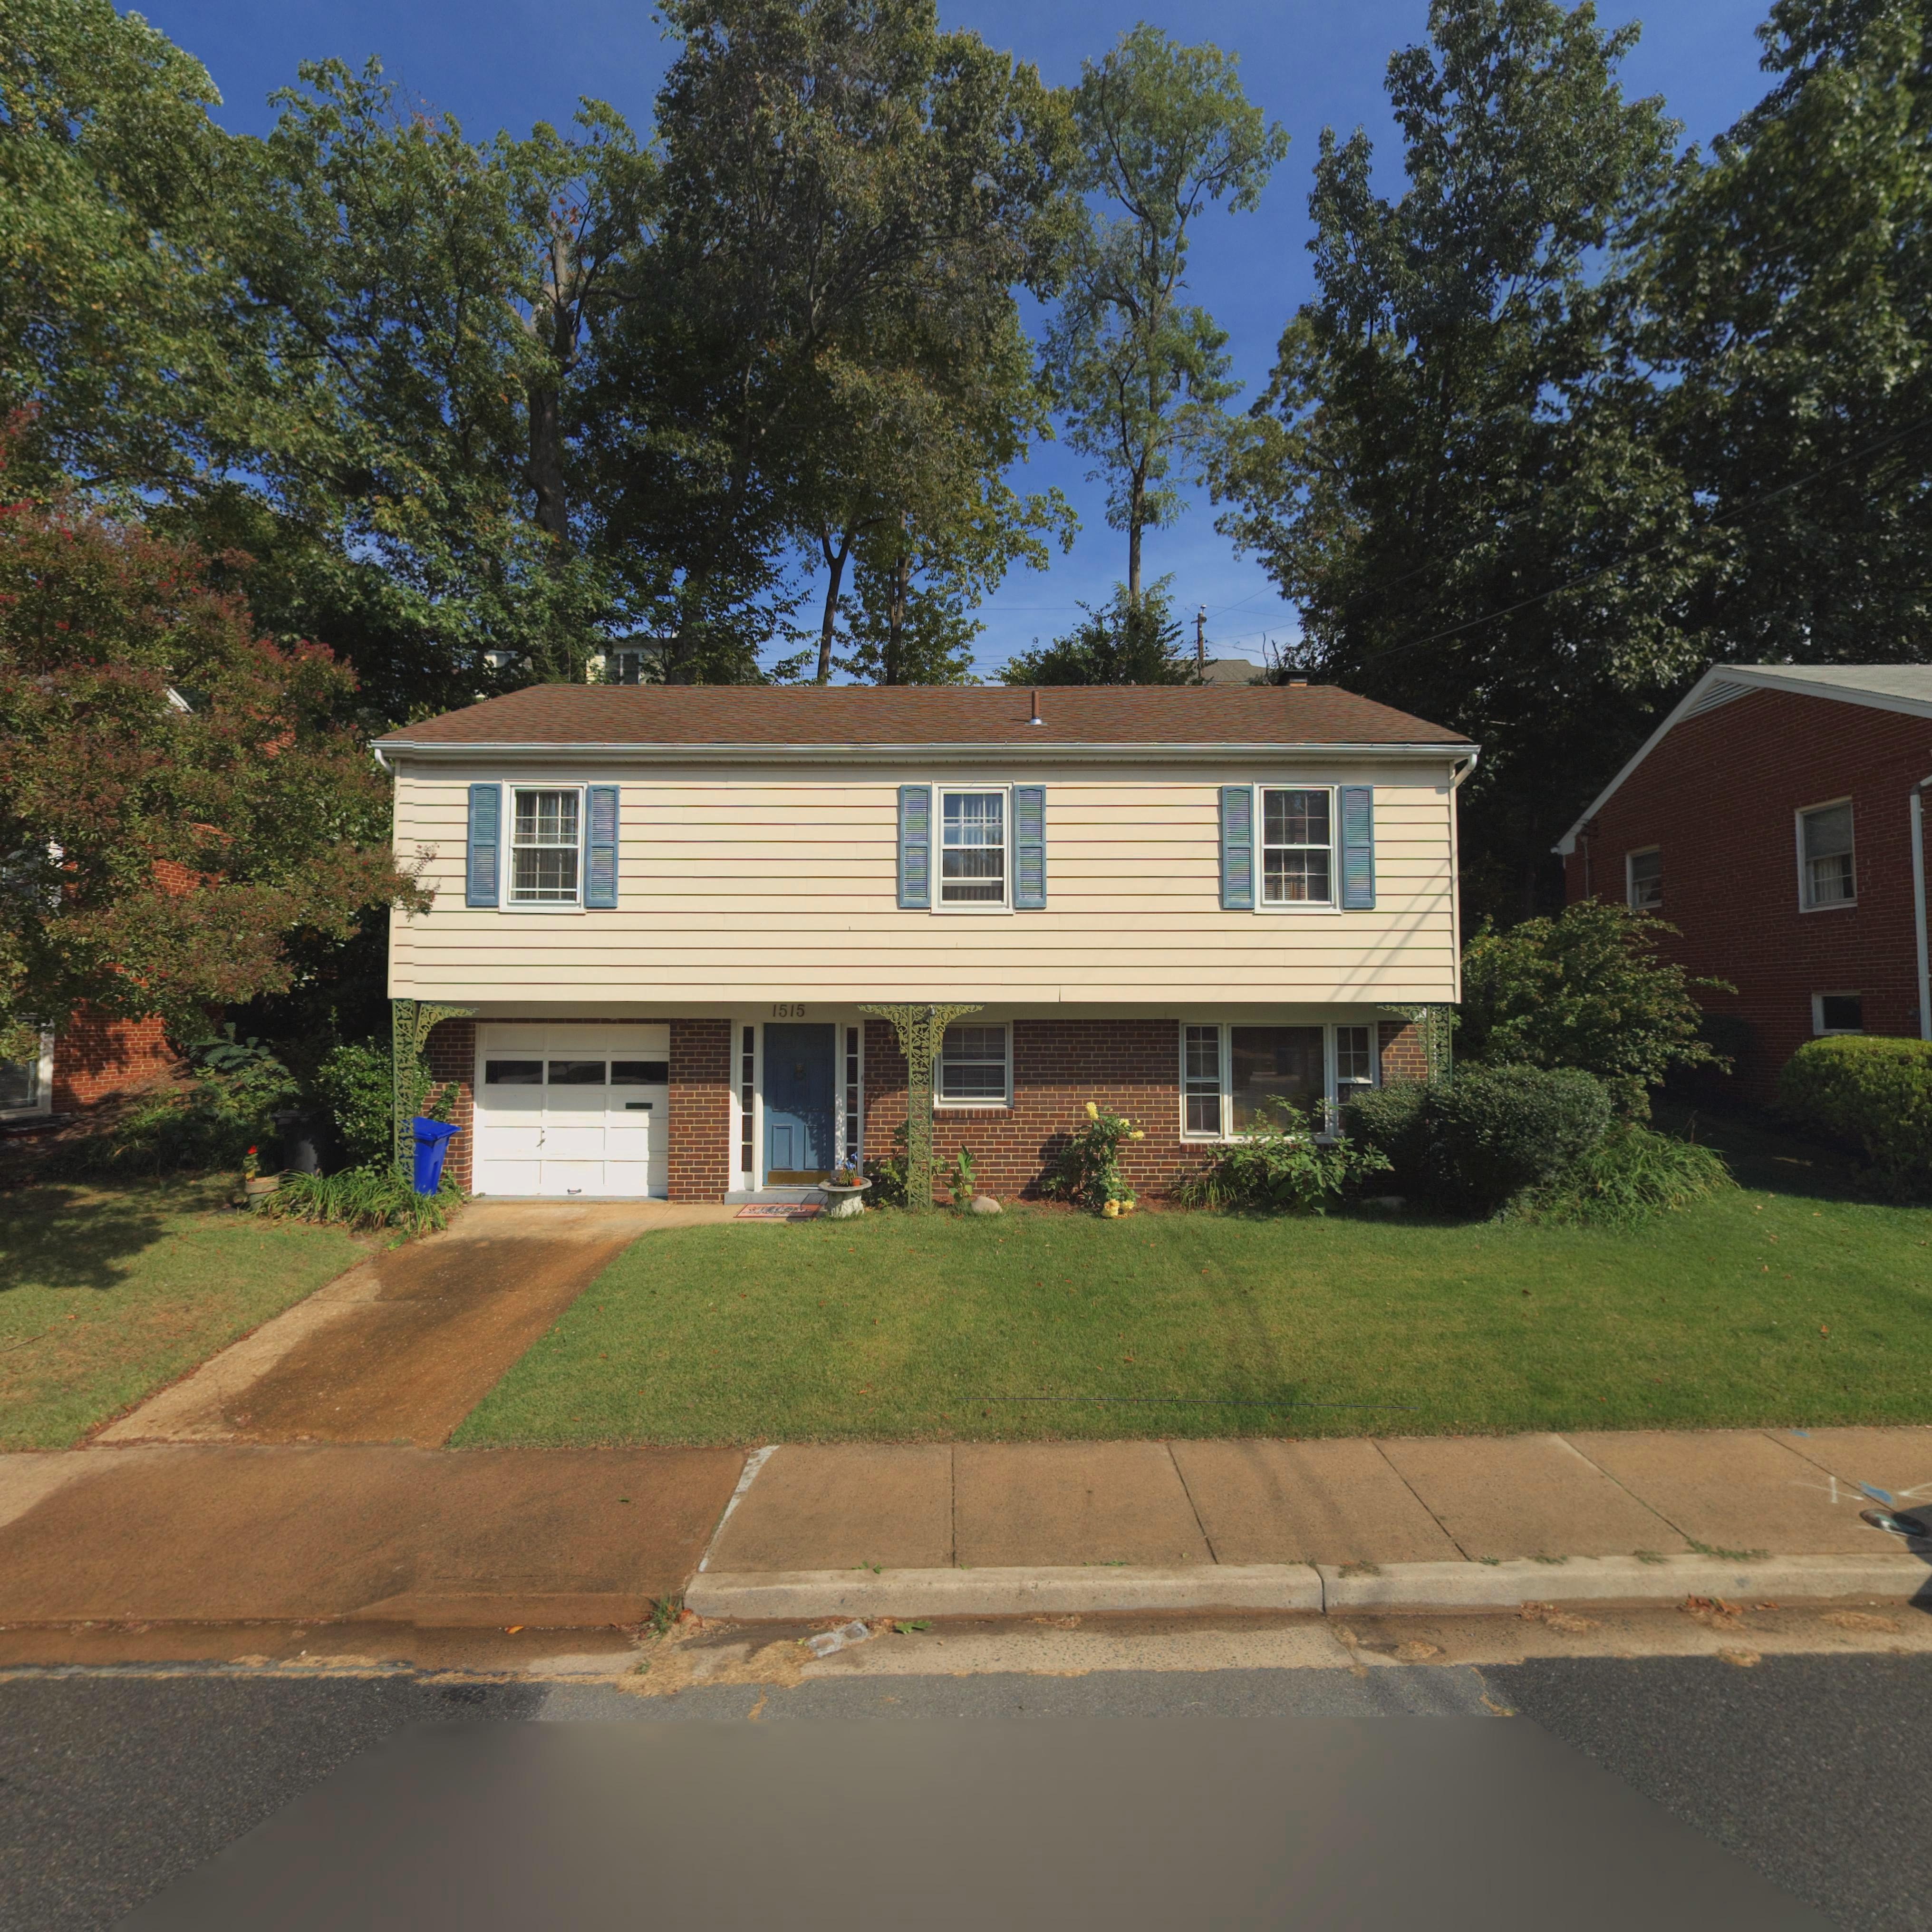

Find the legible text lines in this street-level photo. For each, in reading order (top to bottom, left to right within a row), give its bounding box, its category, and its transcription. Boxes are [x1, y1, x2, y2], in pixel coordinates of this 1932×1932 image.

[772, 1003, 806, 1018] StreetNumber: 1515